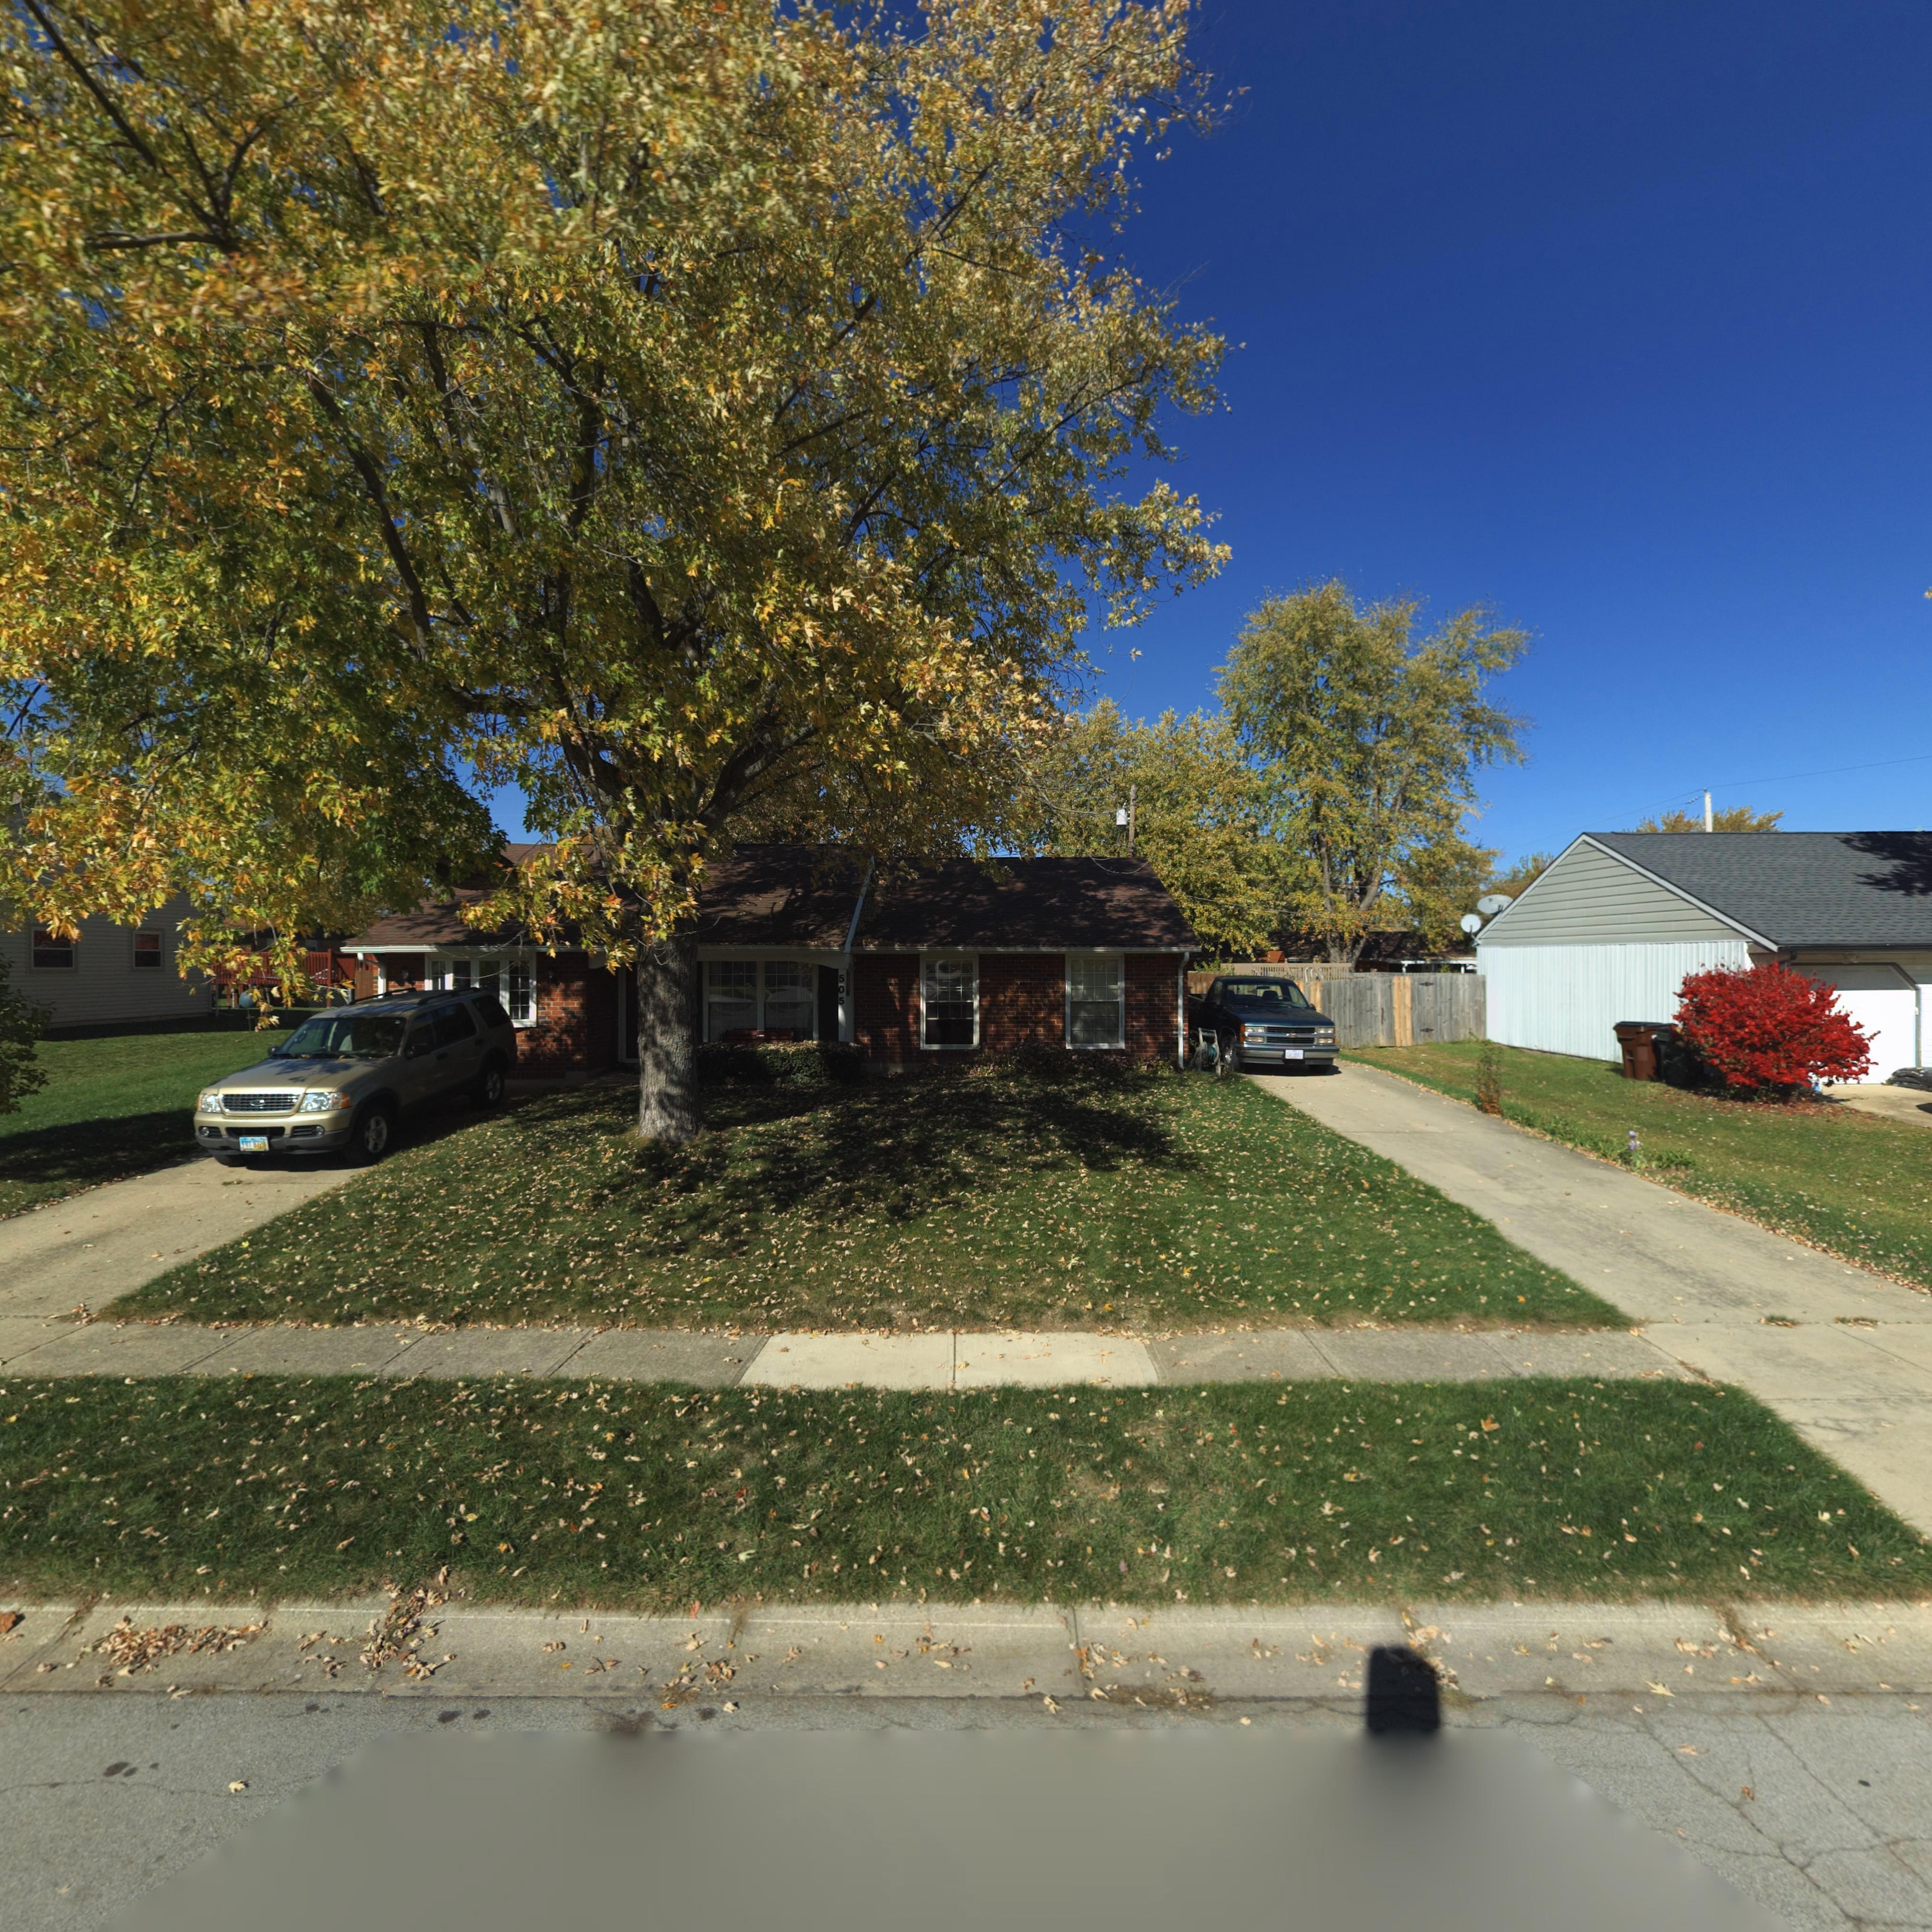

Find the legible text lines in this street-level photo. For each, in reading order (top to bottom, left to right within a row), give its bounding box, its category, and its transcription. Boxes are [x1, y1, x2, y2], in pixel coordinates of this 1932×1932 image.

[838, 974, 845, 1005] StreetNumber: 505